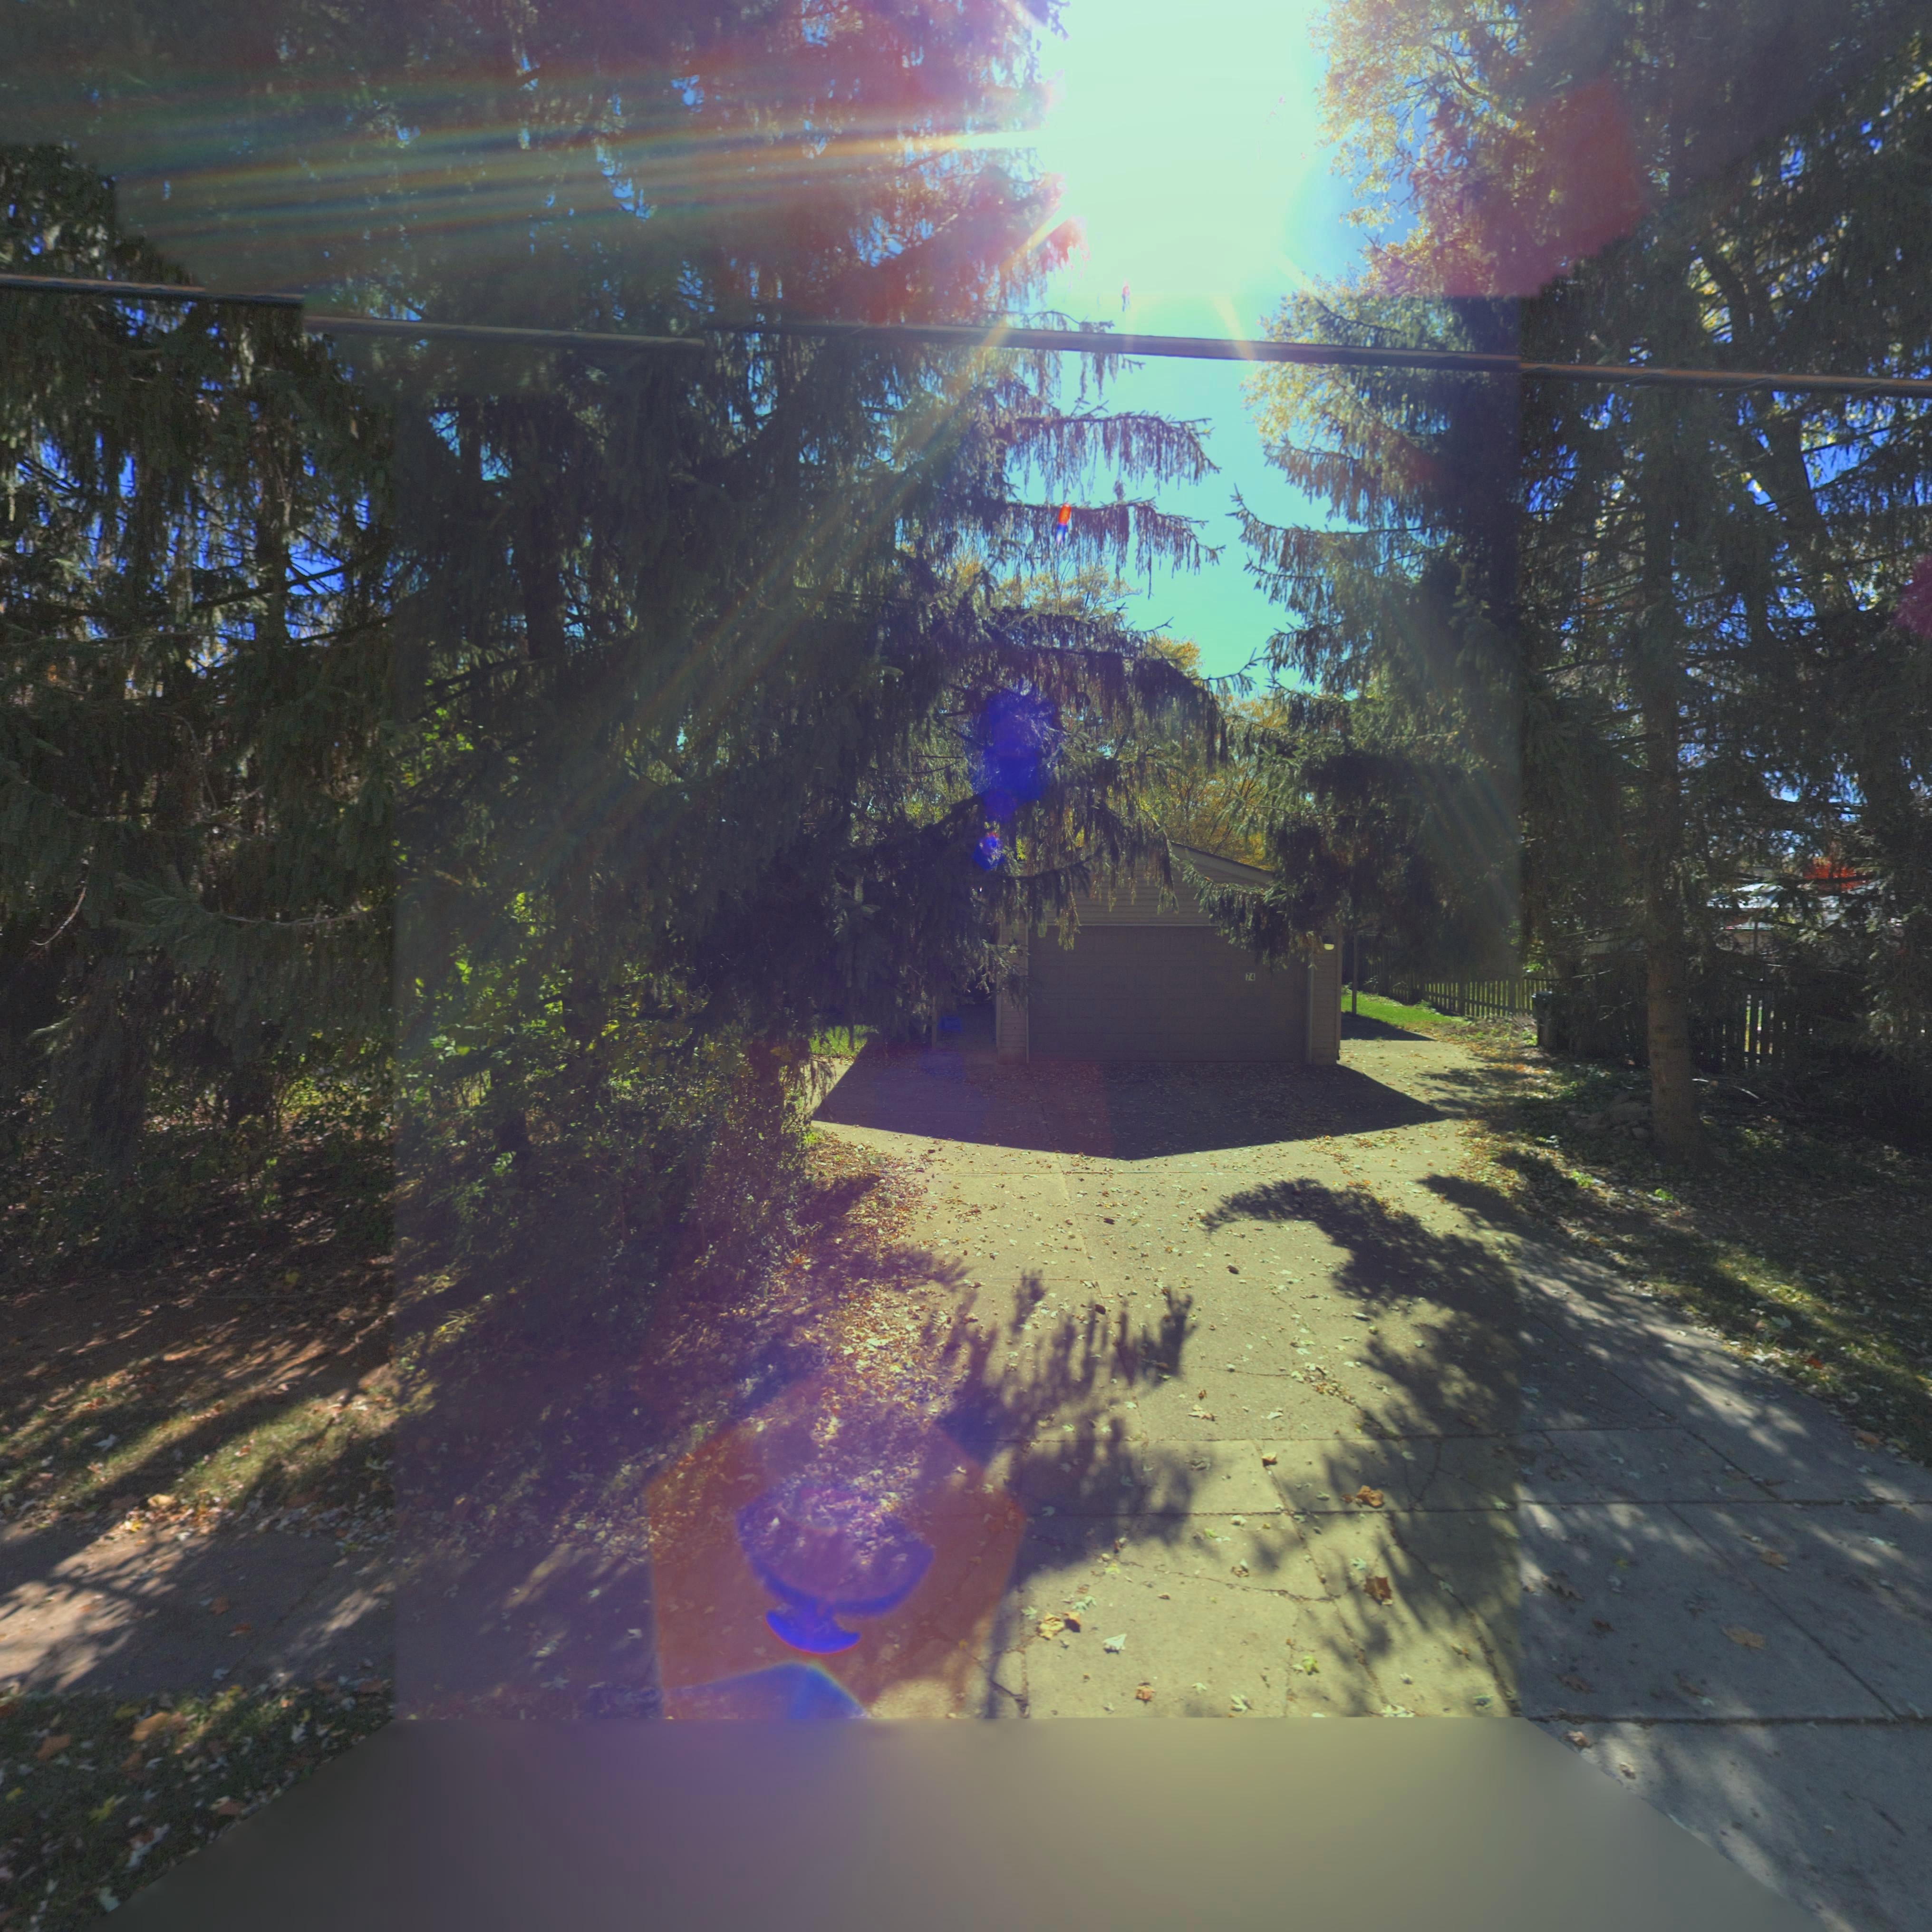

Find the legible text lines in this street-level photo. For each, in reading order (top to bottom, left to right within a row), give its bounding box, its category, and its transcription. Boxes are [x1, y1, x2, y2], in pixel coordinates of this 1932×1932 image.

[1246, 973, 1255, 981] StreetNumber: 74